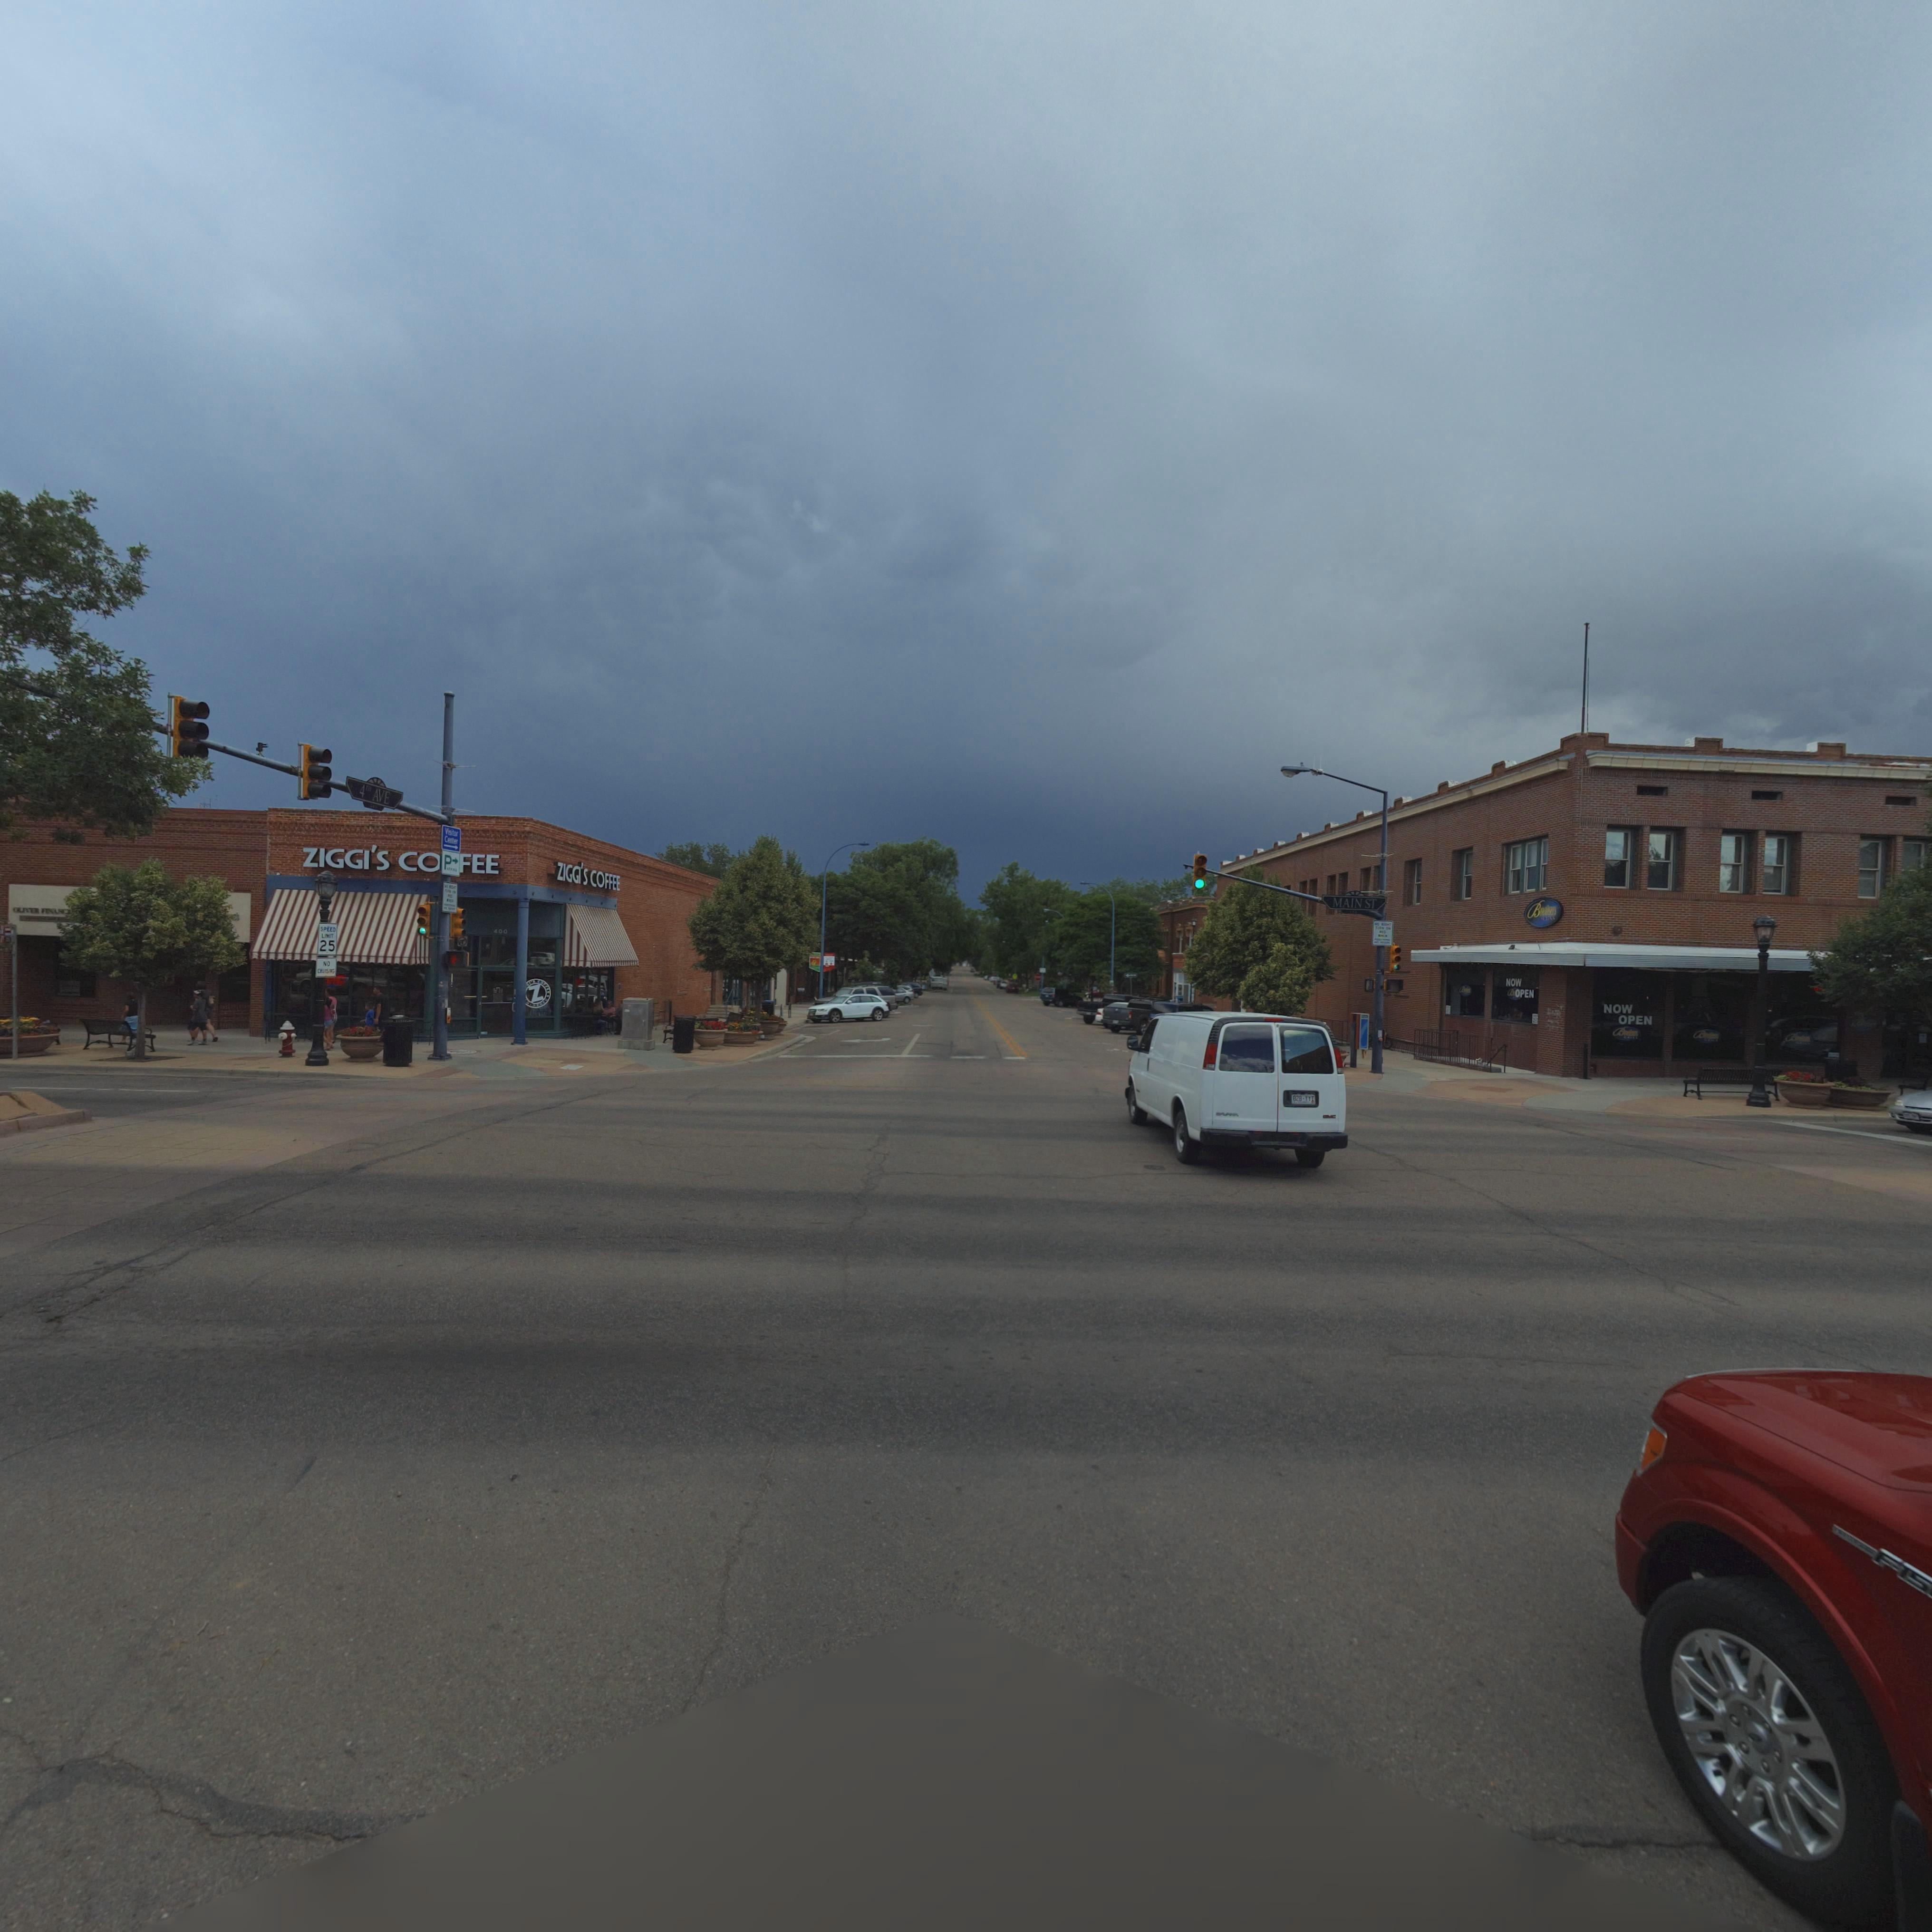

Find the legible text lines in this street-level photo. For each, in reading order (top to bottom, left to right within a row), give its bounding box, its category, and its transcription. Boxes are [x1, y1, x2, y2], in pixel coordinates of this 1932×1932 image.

[359, 784, 390, 804] StreetName: 4TH AVE
[303, 844, 441, 872] BusinessName: ZIGGI'S CO
[459, 853, 499, 874] BusinessName: FEE
[553, 861, 620, 891] BusinessName: ZIGGI'S COFFEE
[1332, 898, 1377, 908] StreetName: MAIN ST
[11, 906, 73, 915] BusinessName: OLIV*R FIN*NCE
[1526, 900, 1556, 918] BusinessName: B*******
[1540, 916, 1555, 920] BusinessName: **ILL
[493, 929, 507, 934] StreetNumber: 400
[537, 979, 550, 993] BusinessName: COF***
[1459, 985, 1465, 993] BusinessName: B
[1507, 988, 1515, 996] BusinessName: B
[1612, 1026, 1638, 1036] BusinessName: B*******
[1693, 1029, 1718, 1039] BusinessName: B*******
[1785, 1032, 1811, 1043] BusinessName: B*******